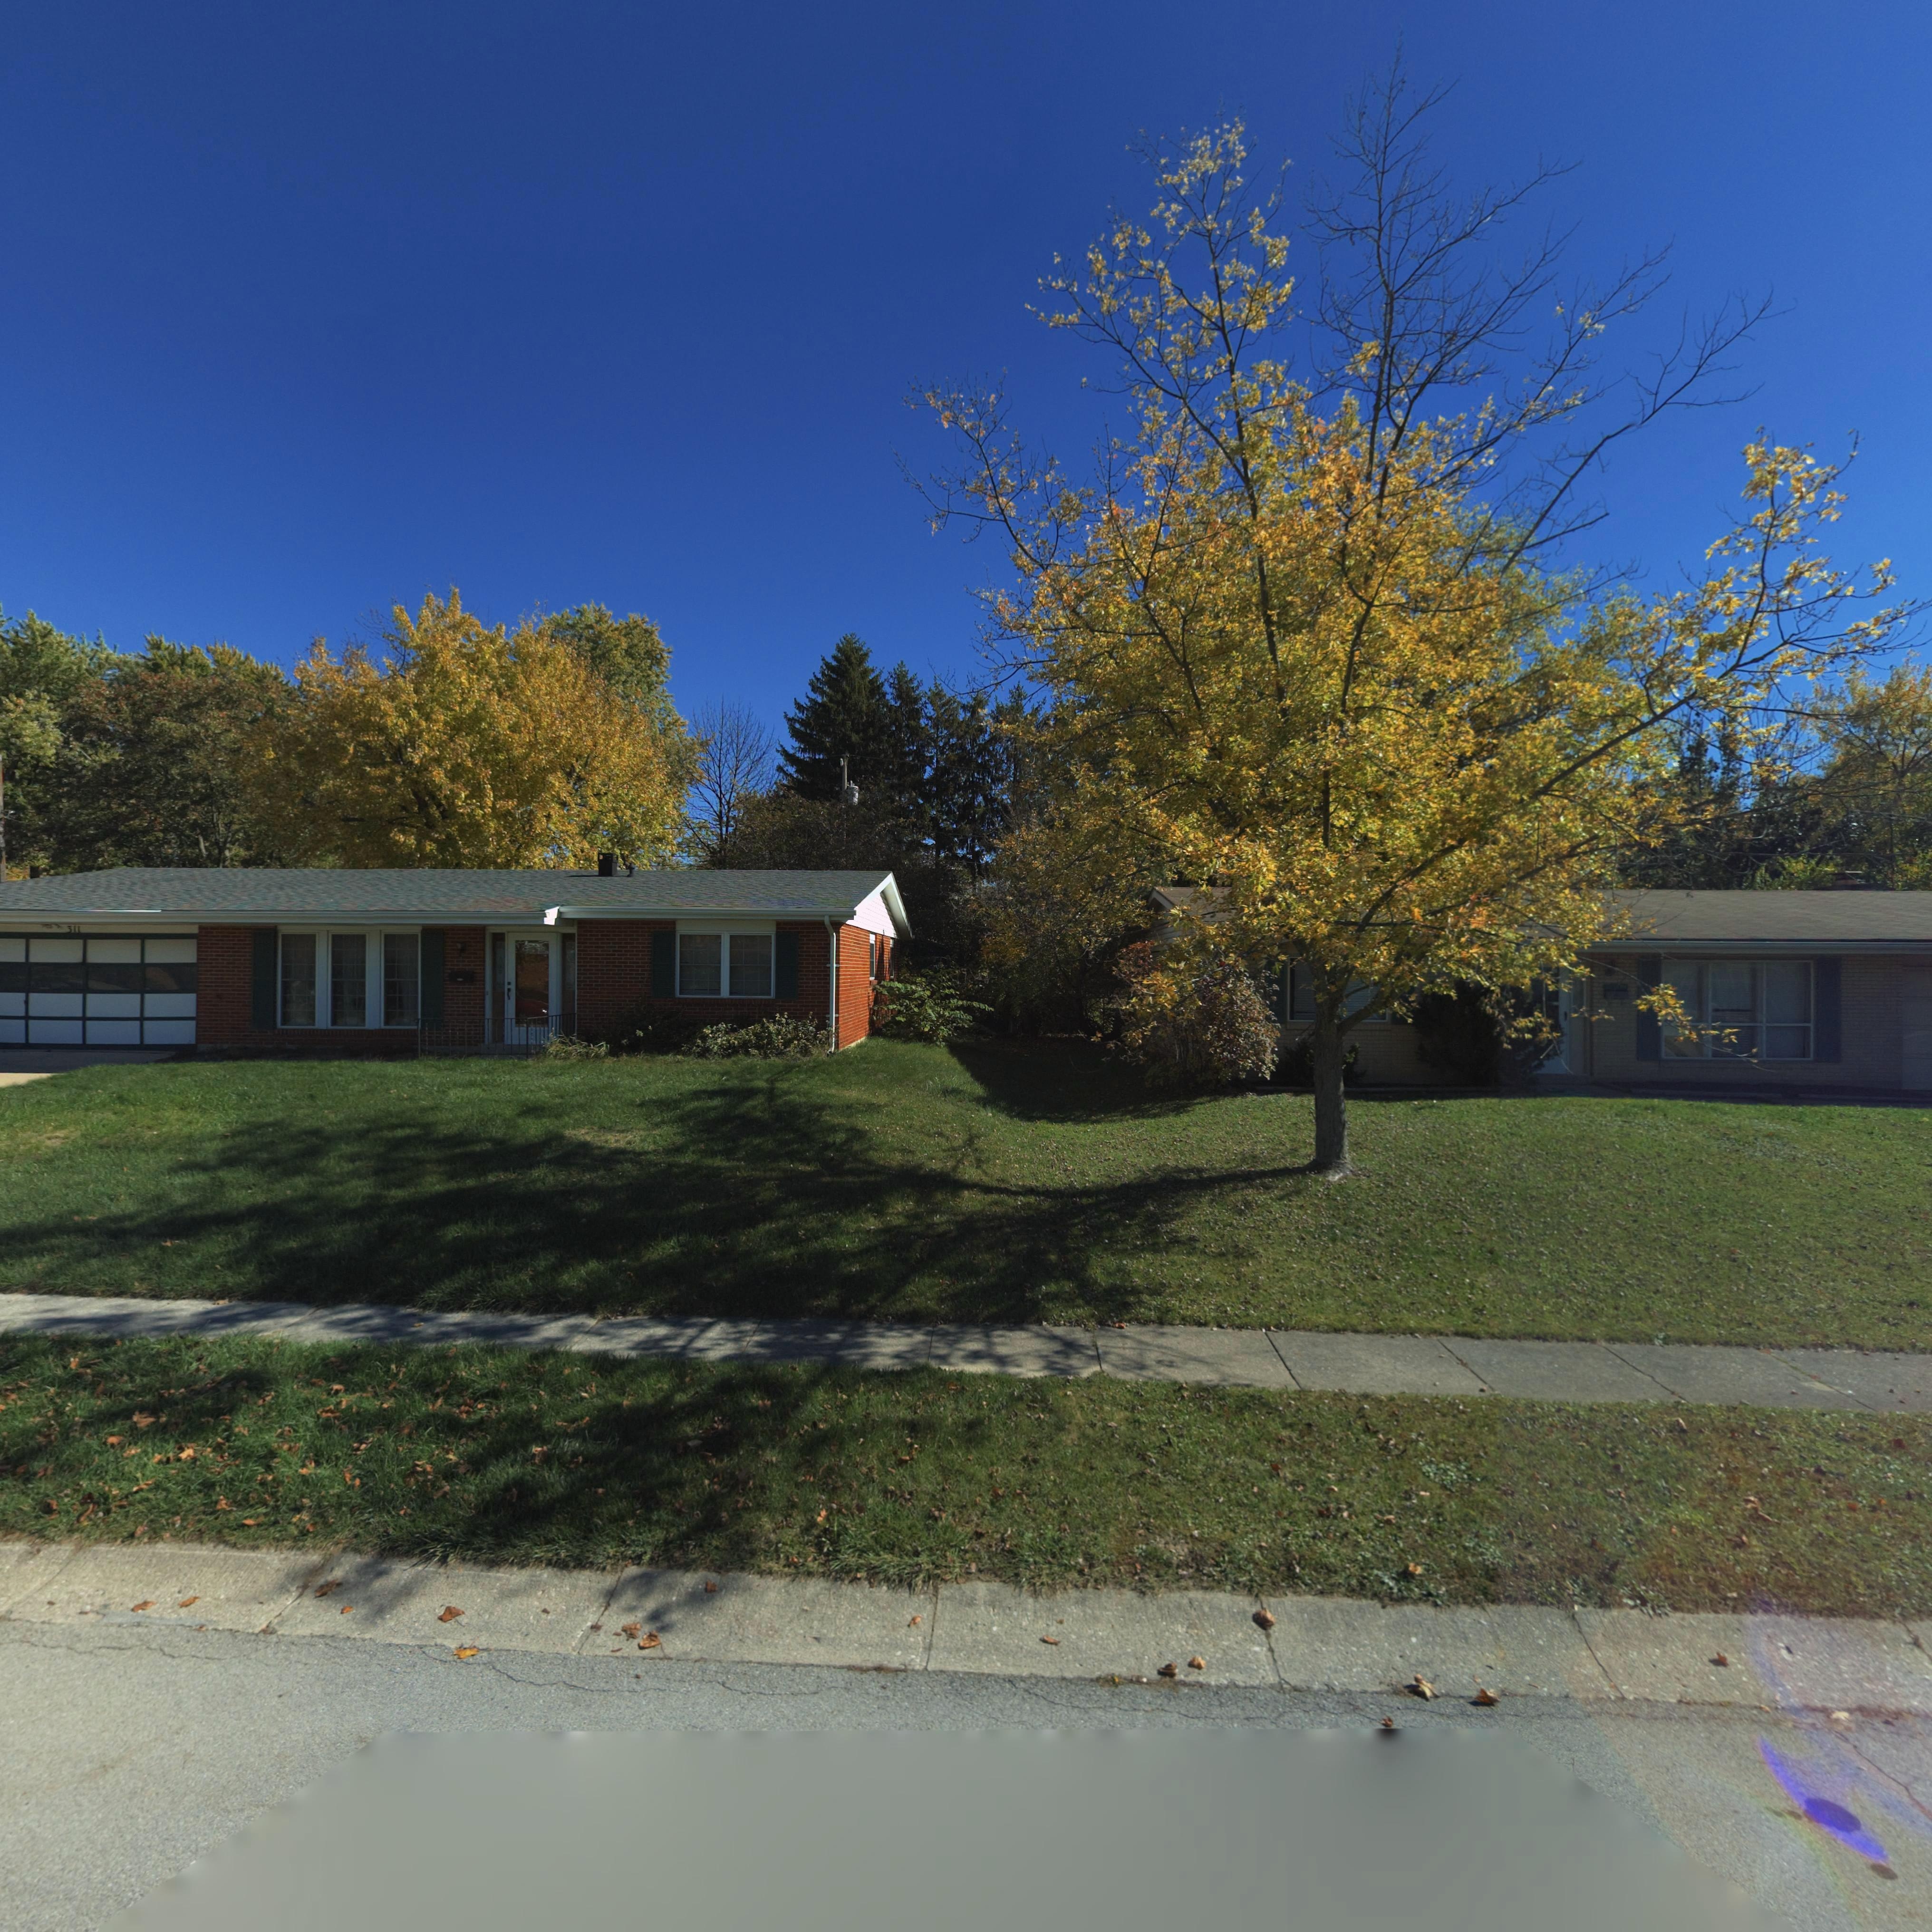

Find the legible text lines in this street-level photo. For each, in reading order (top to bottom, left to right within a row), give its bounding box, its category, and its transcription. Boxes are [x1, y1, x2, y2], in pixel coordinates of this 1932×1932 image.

[67, 925, 81, 933] StreetNumber: 311